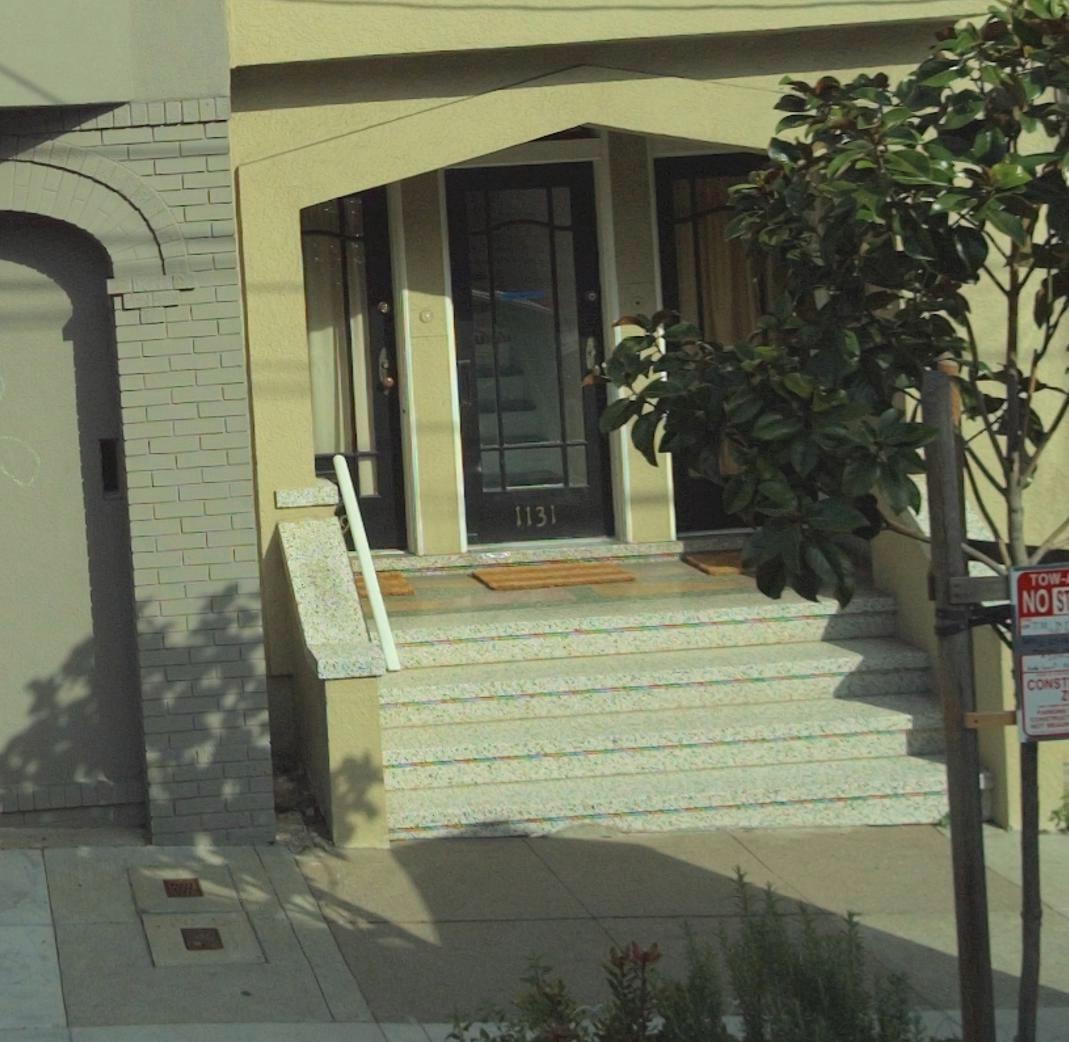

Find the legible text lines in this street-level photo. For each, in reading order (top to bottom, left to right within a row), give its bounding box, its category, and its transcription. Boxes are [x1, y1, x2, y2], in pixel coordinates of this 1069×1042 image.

[513, 504, 557, 529] StreetNumber: 1131
[1028, 572, 1067, 587] None: TOW-
[1022, 589, 1069, 614] None: NO S*
[1025, 678, 1069, 690] None: CONST
[1060, 690, 1069, 702] None: Z